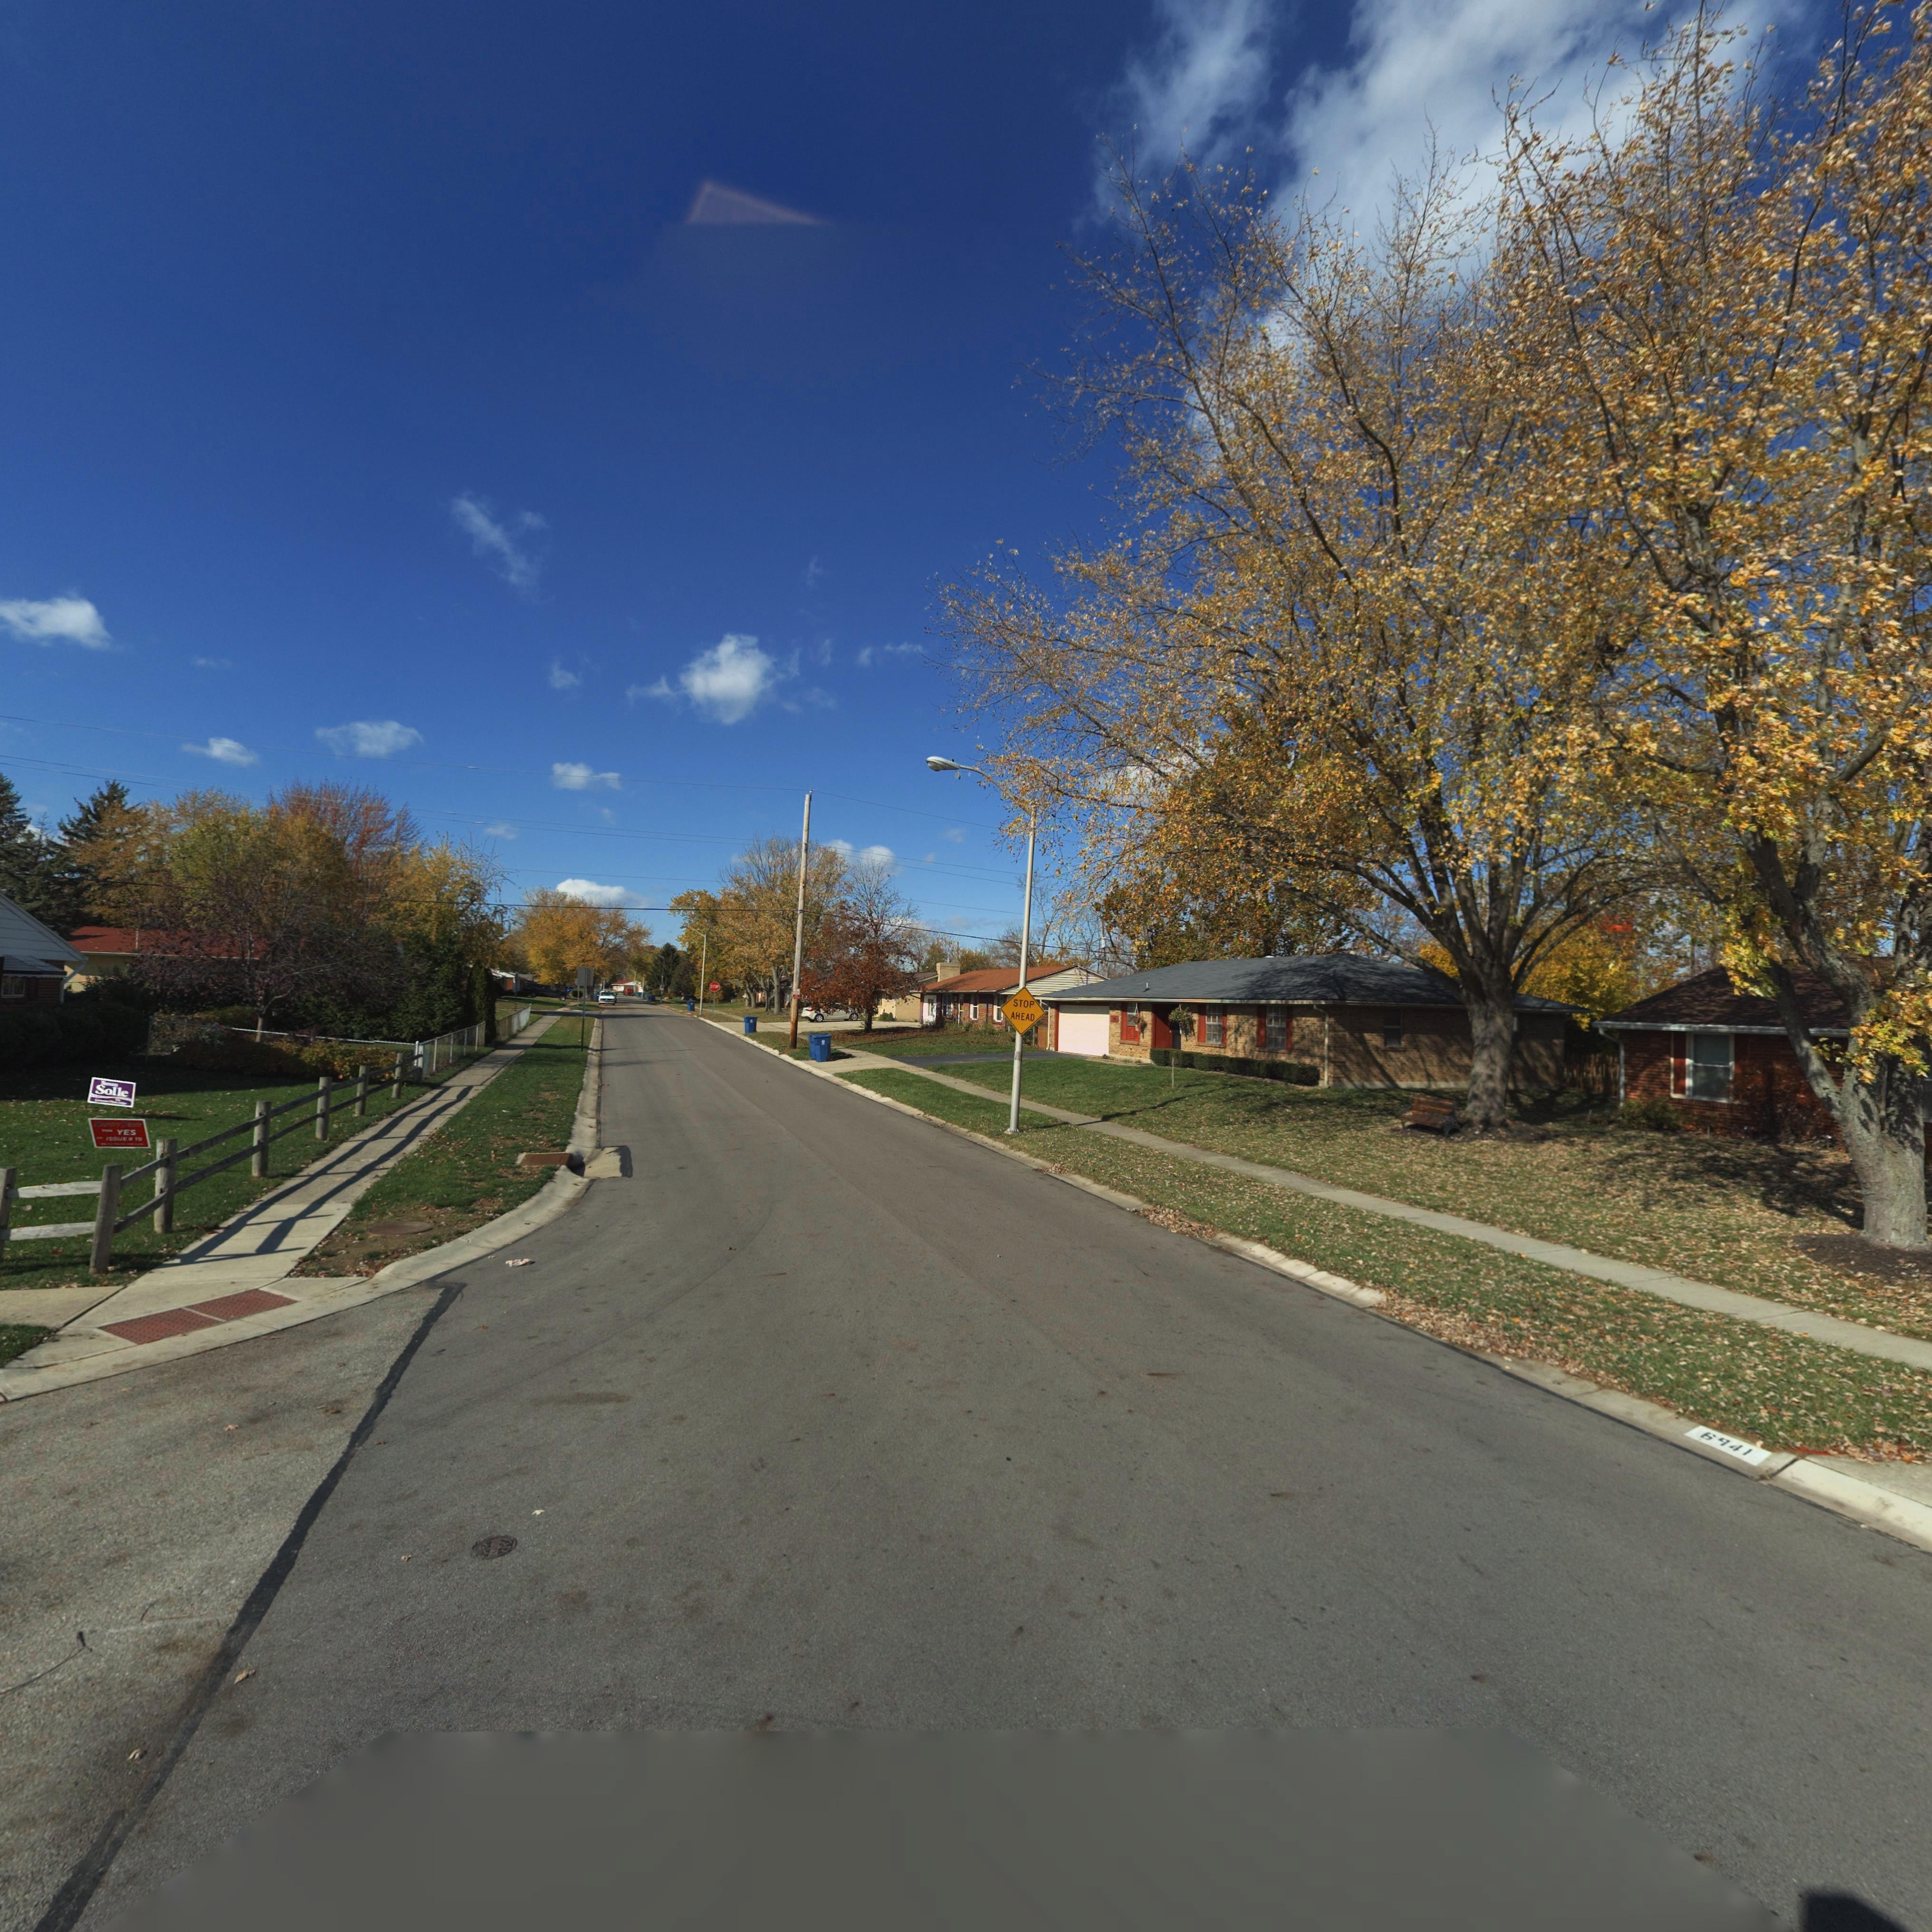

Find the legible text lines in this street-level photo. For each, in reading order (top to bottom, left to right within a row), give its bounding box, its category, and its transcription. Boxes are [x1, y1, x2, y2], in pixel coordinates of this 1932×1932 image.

[1697, 1430, 1754, 1458] StreetNumber: 6941